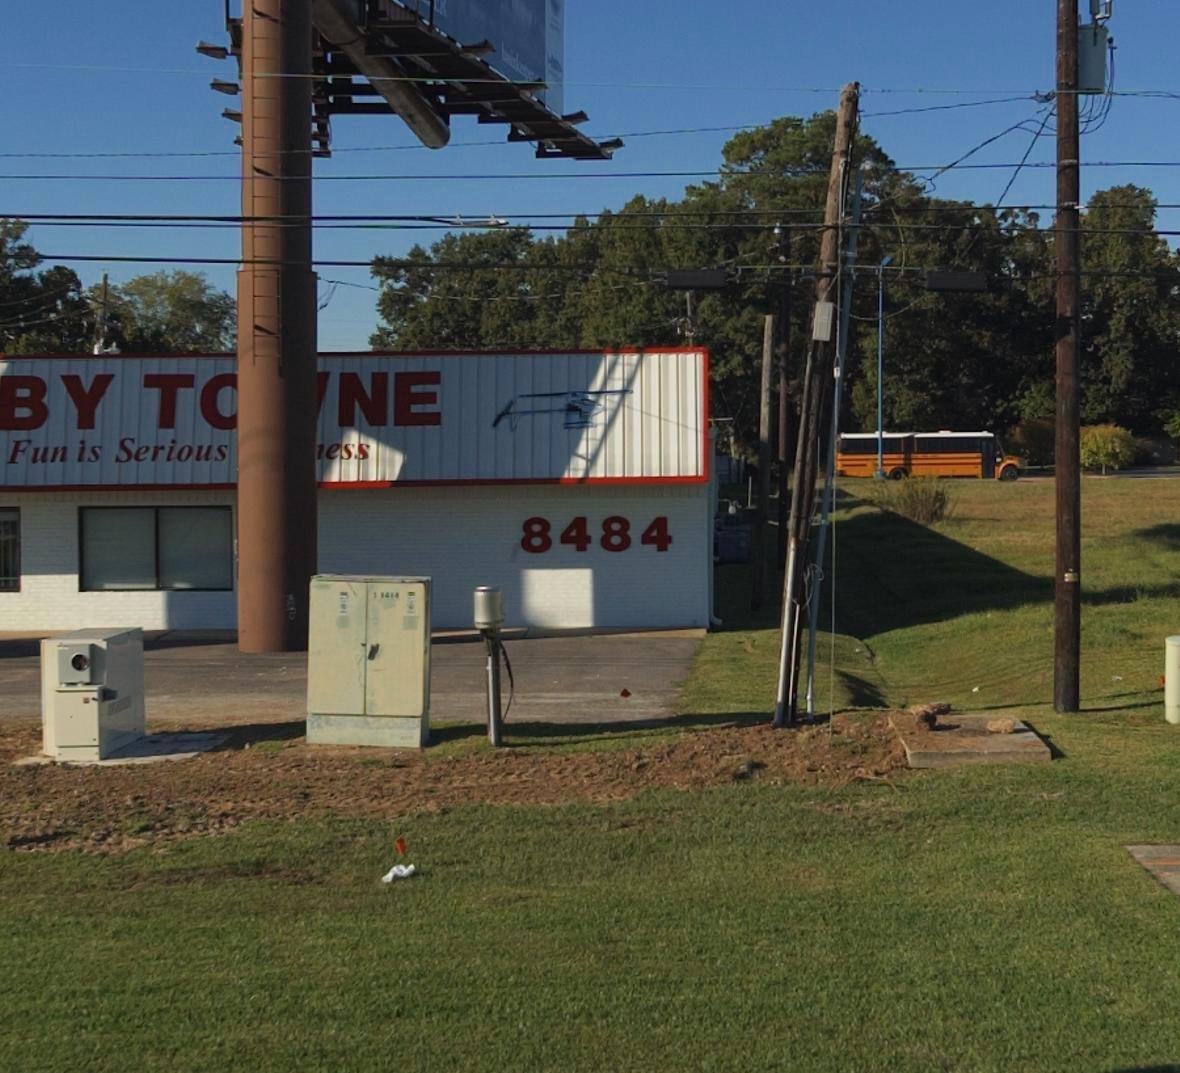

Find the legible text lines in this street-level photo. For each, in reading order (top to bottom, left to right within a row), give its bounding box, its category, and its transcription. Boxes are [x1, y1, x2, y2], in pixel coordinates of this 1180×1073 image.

[0, 366, 448, 436] BusinessName: BY T**NE
[1, 433, 376, 468] None: Fun is Serious ess
[518, 513, 675, 556] StreetNumber: 8484